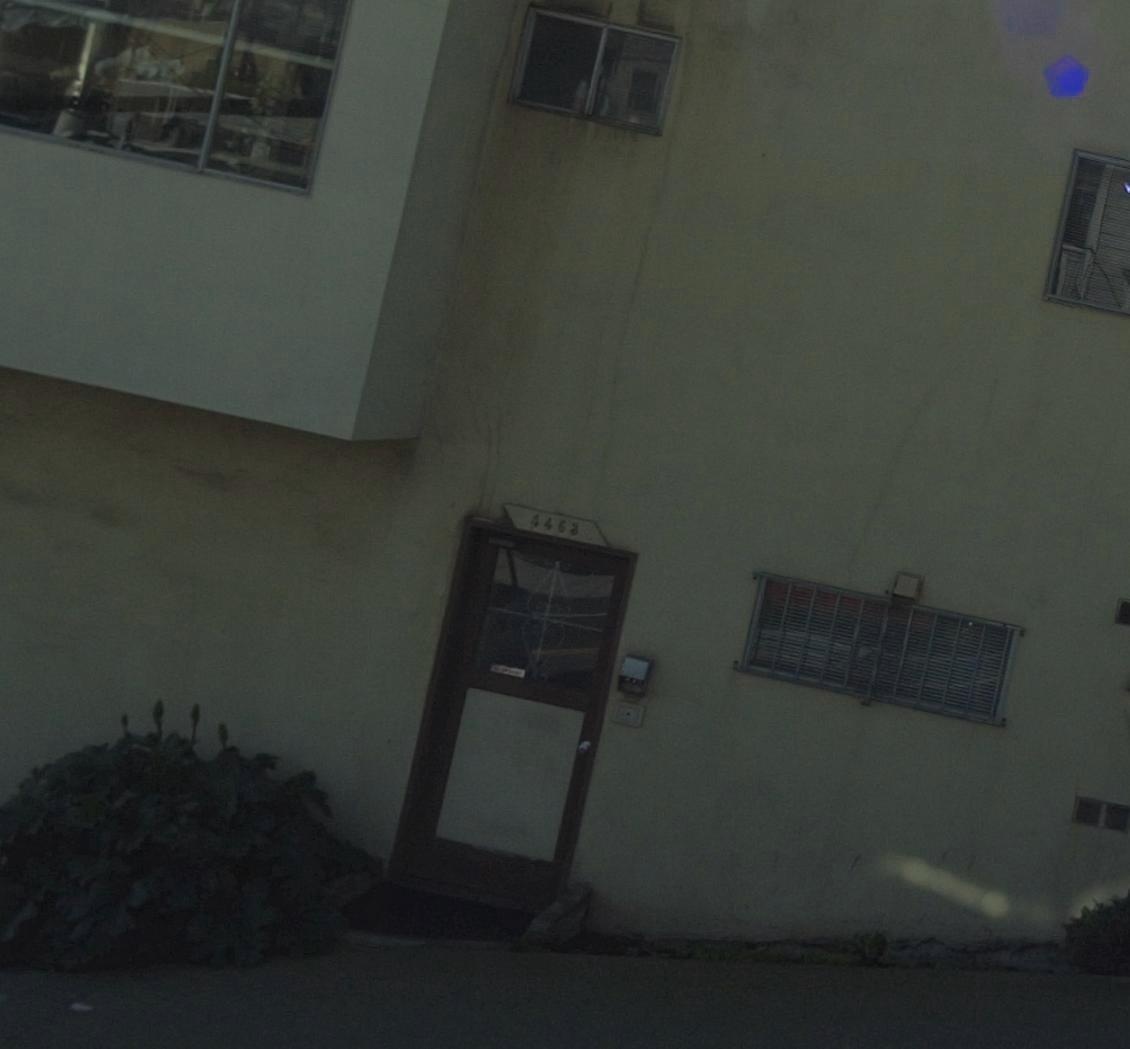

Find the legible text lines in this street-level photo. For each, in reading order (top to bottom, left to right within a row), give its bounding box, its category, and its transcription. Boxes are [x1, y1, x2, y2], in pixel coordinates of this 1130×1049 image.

[527, 513, 582, 537] StreetNumber: 4463